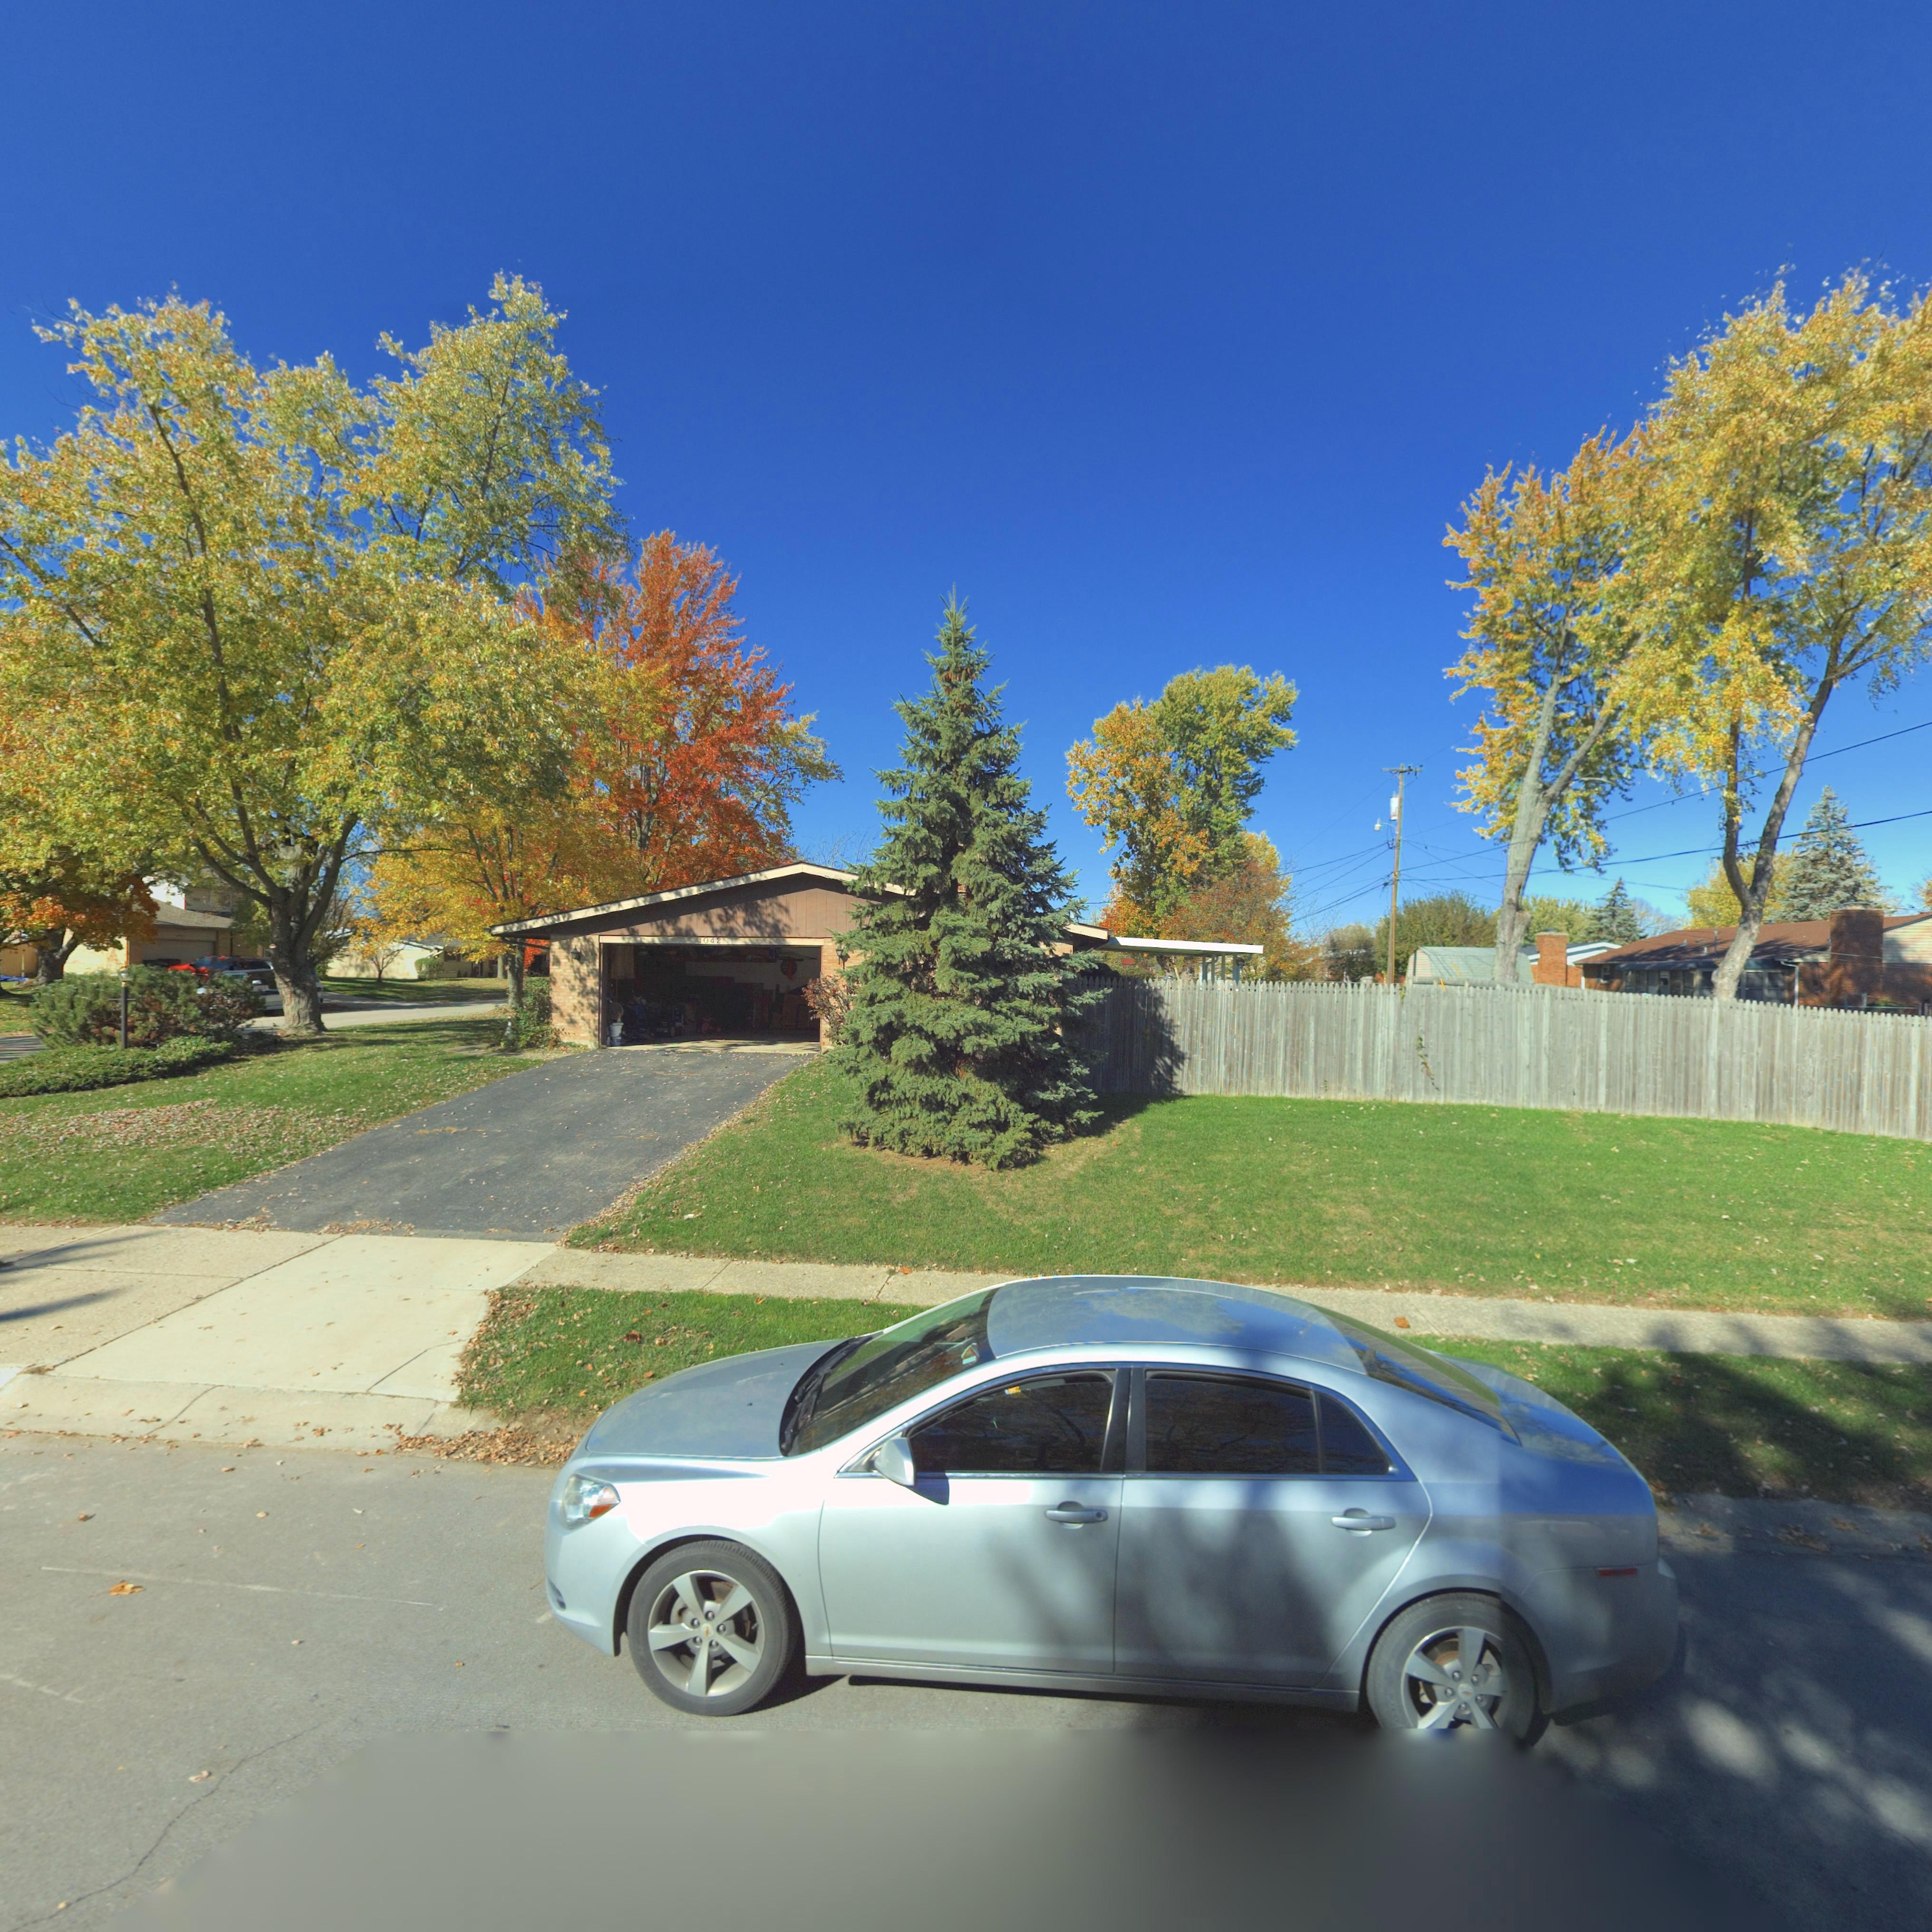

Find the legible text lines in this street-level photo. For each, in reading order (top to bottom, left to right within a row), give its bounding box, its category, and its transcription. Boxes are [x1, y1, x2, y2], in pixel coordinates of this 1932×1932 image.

[698, 937, 721, 944] StreetNumber: 1042